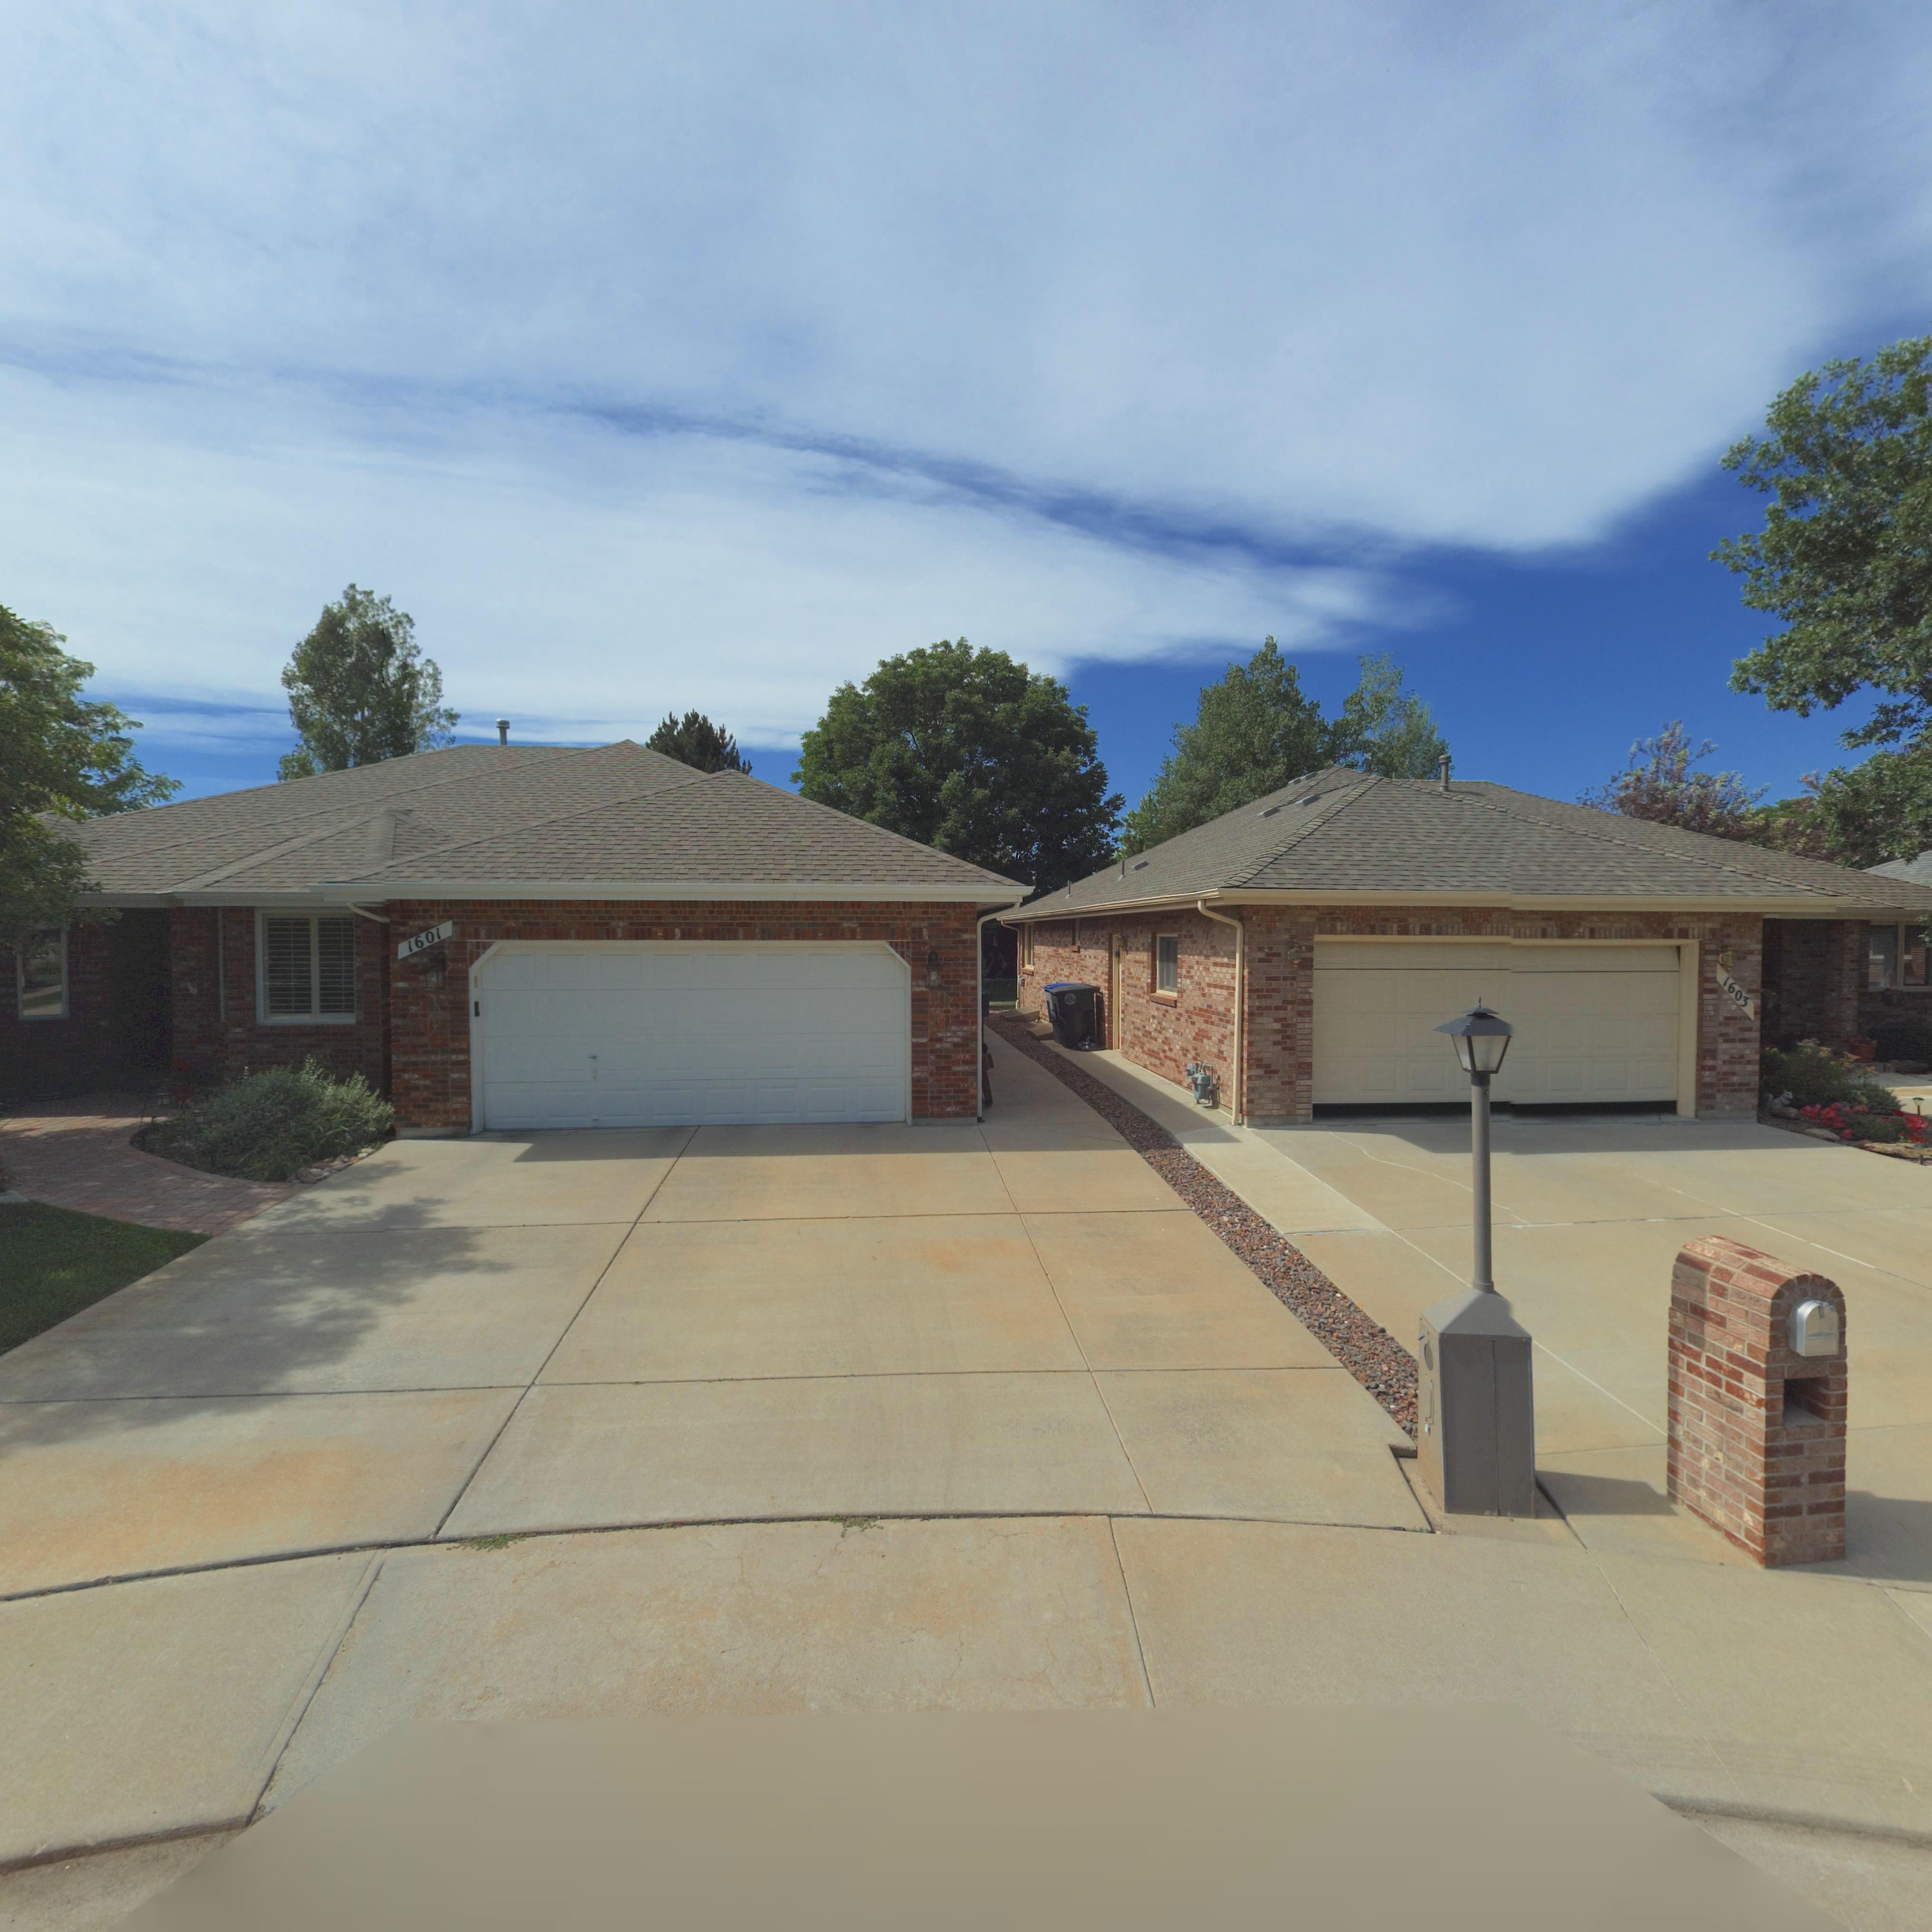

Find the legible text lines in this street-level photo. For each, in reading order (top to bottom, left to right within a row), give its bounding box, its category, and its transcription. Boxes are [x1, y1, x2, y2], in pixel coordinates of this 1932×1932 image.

[407, 927, 442, 953] StreetNumber: 1601
[1722, 976, 1750, 1007] StreetNumber: 1603